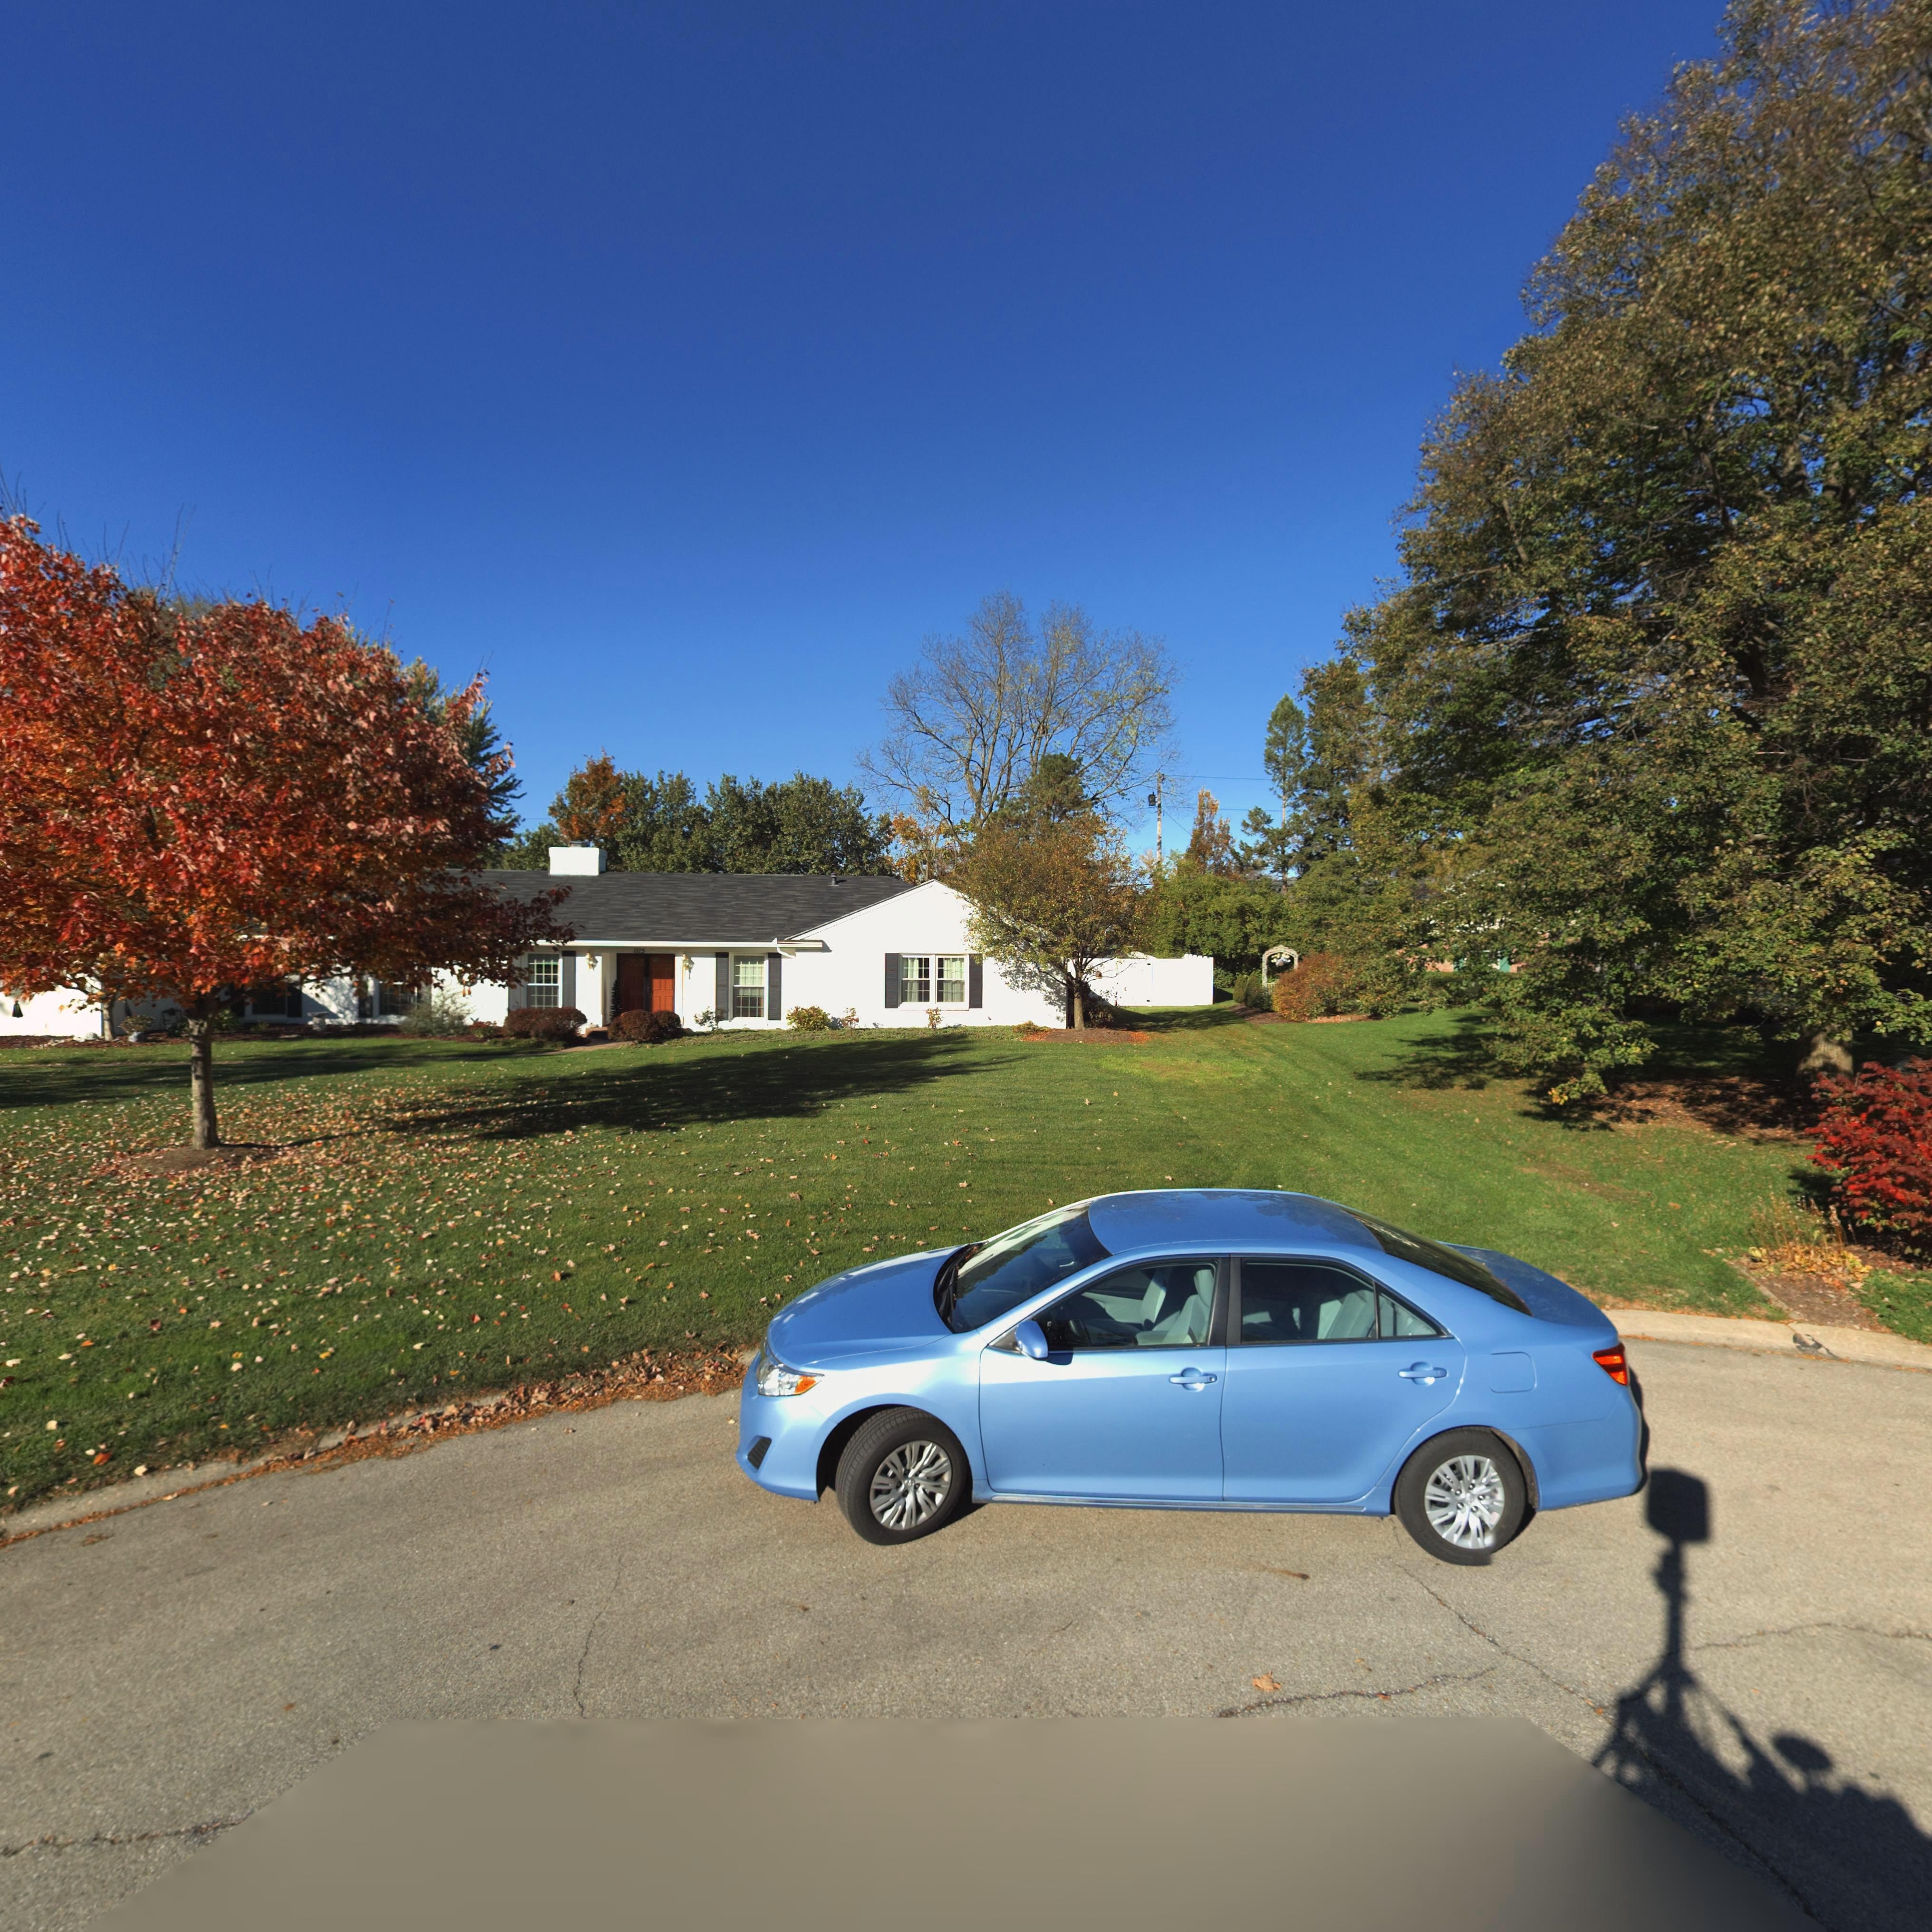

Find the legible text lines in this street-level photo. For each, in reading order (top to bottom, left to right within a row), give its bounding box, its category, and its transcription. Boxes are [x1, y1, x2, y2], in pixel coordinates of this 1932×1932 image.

[632, 947, 647, 955] StreetNumber: 1115